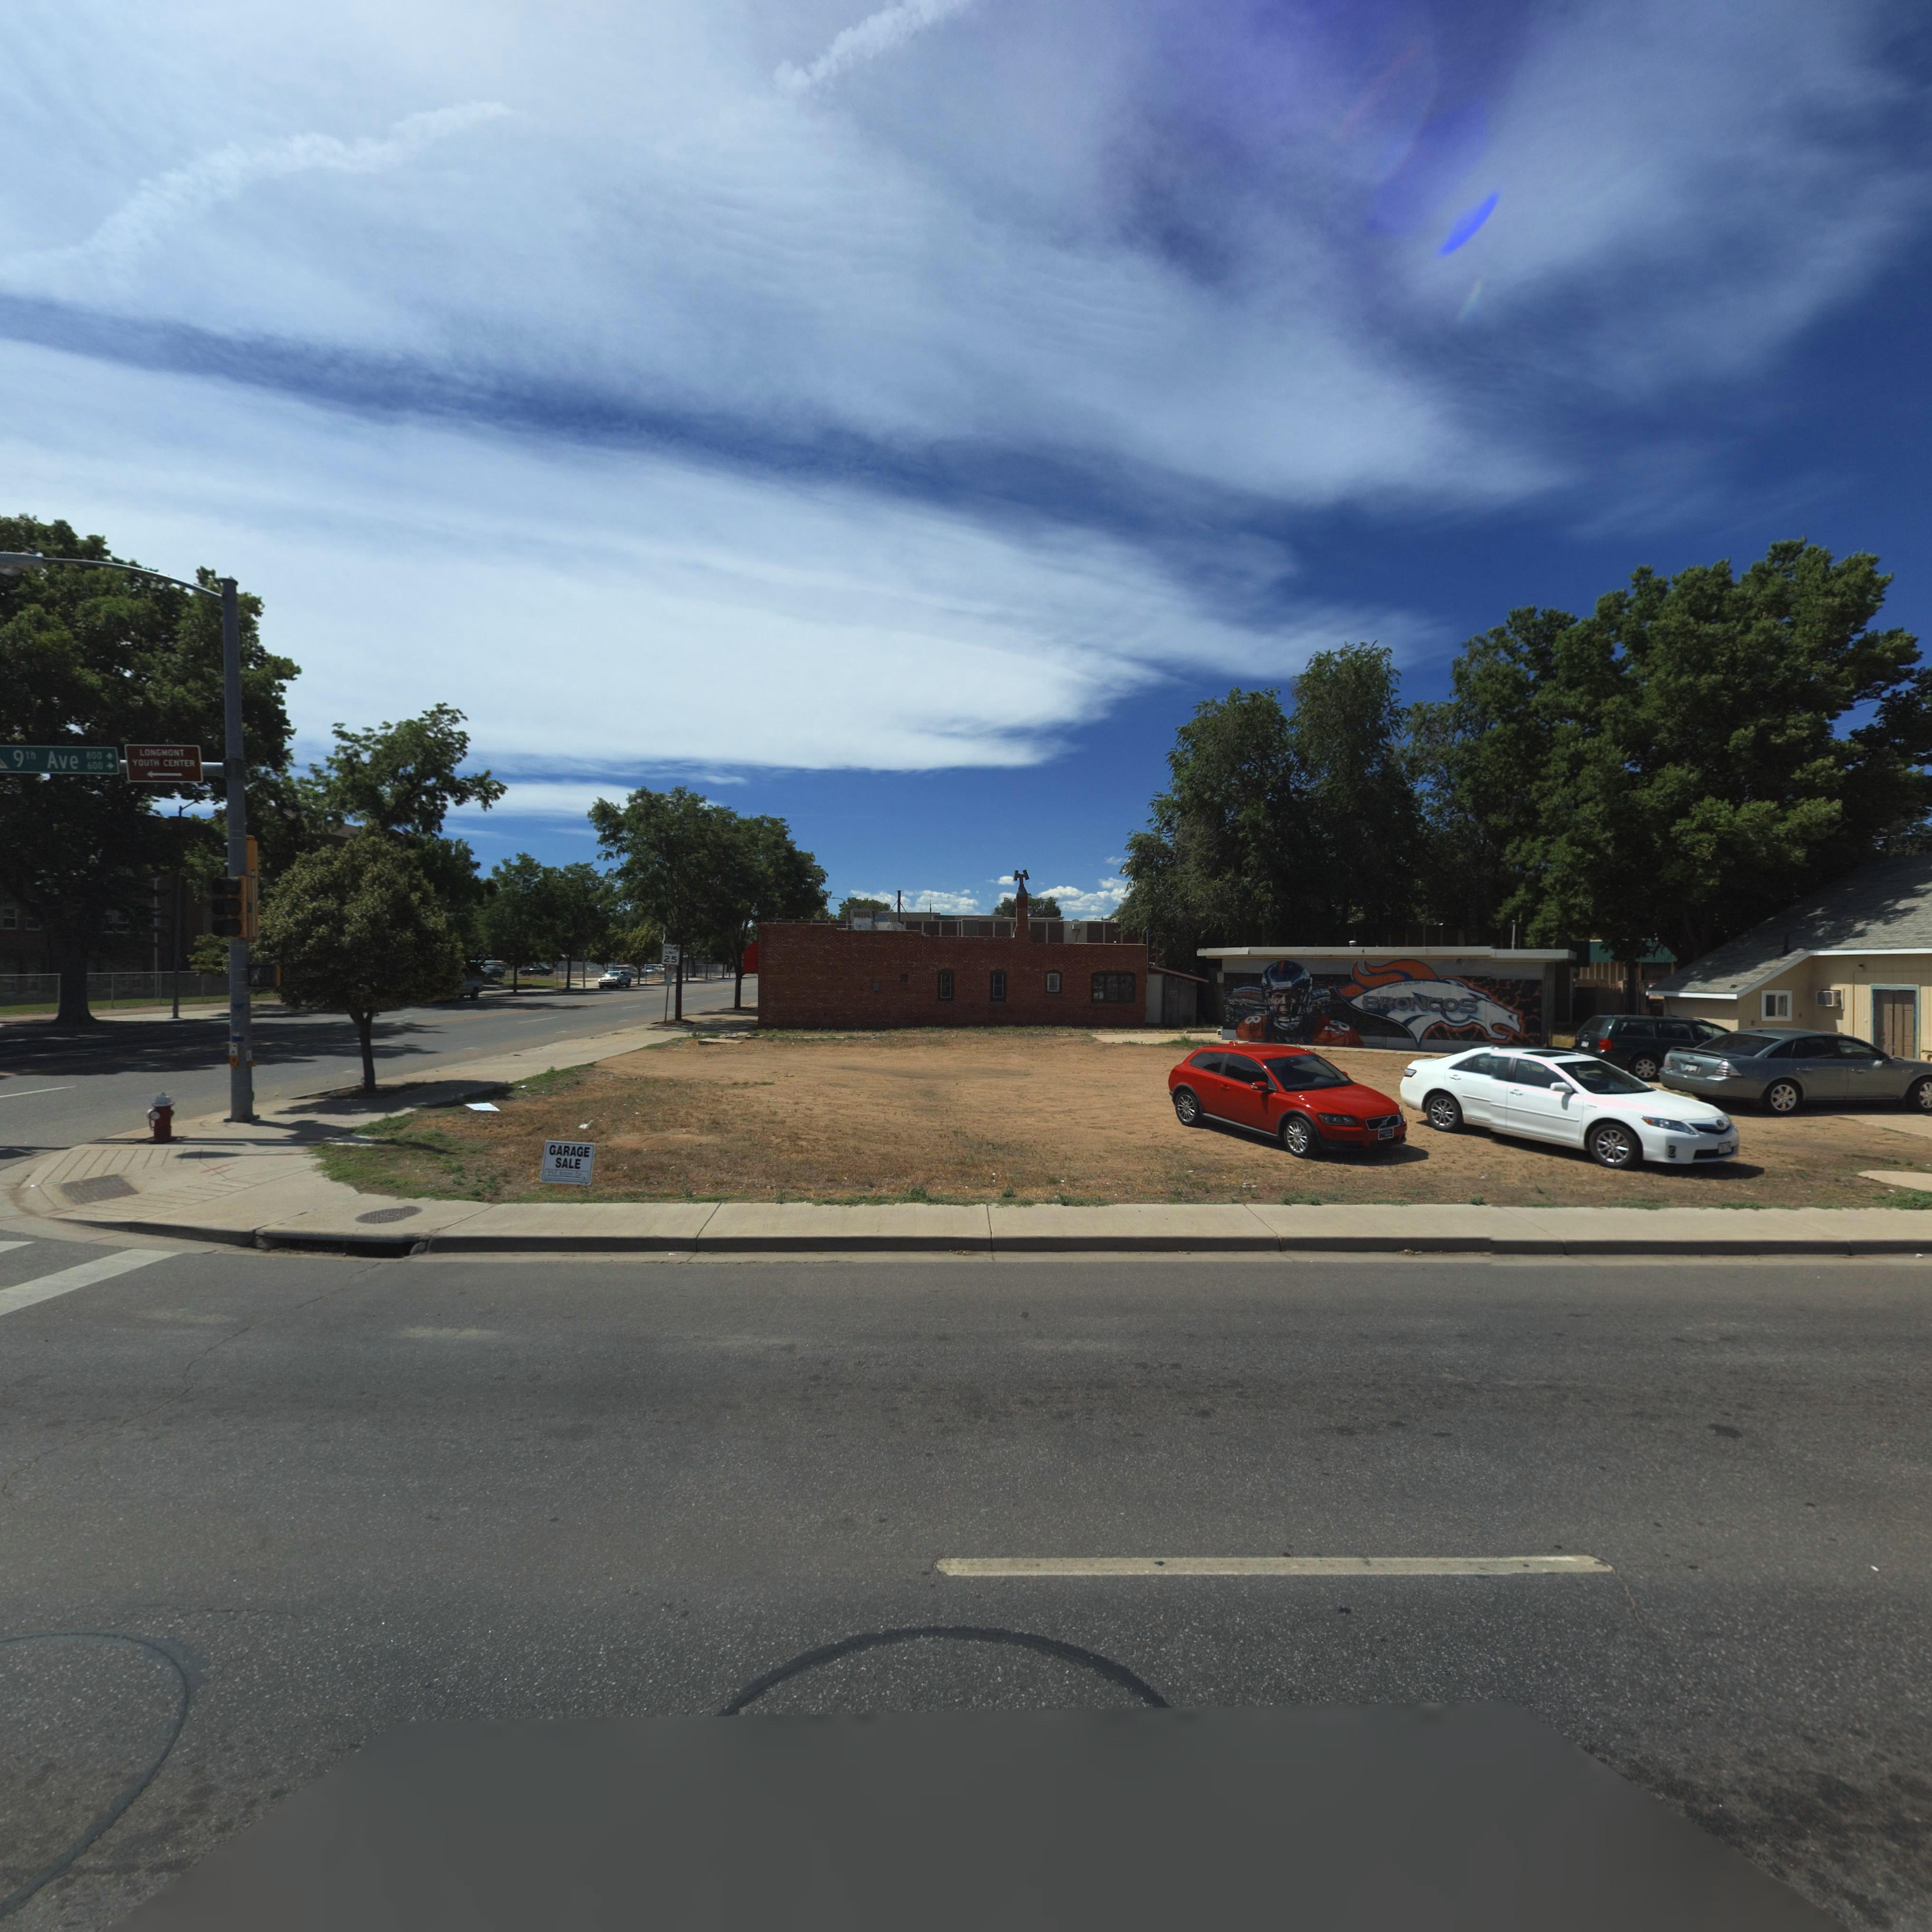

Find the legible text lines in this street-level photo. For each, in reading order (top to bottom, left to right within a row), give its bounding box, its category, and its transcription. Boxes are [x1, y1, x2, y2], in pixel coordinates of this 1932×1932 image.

[12, 749, 79, 770] StreetName: 9th Ave
[85, 750, 103, 760] StreetNumberRange: 800
[87, 761, 116, 770] StreetNumberRange: 600->